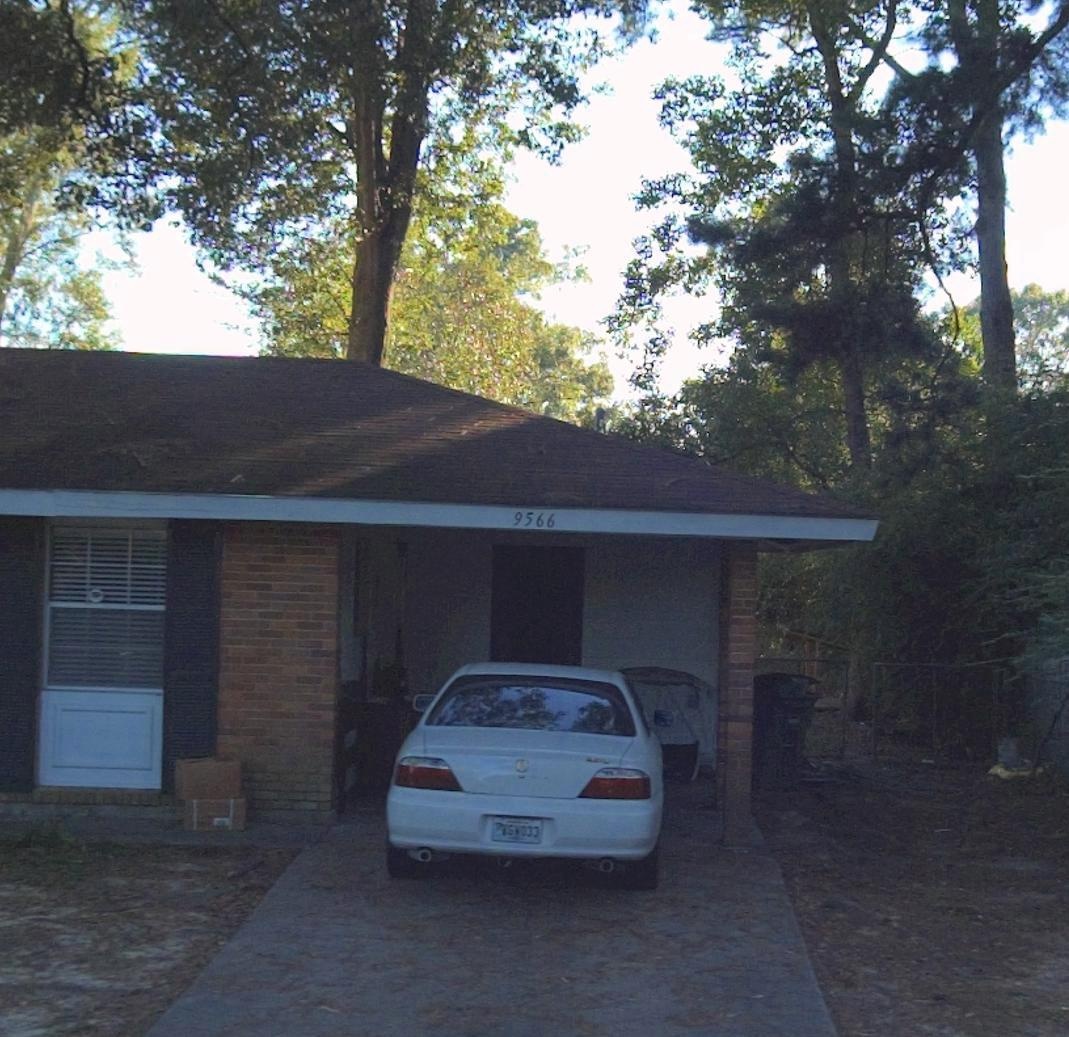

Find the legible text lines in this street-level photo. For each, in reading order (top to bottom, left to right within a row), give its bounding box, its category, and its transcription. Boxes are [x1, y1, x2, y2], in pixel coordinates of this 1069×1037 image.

[512, 511, 556, 529] StreetNumber: 9566
[492, 822, 540, 839] None: **SW033